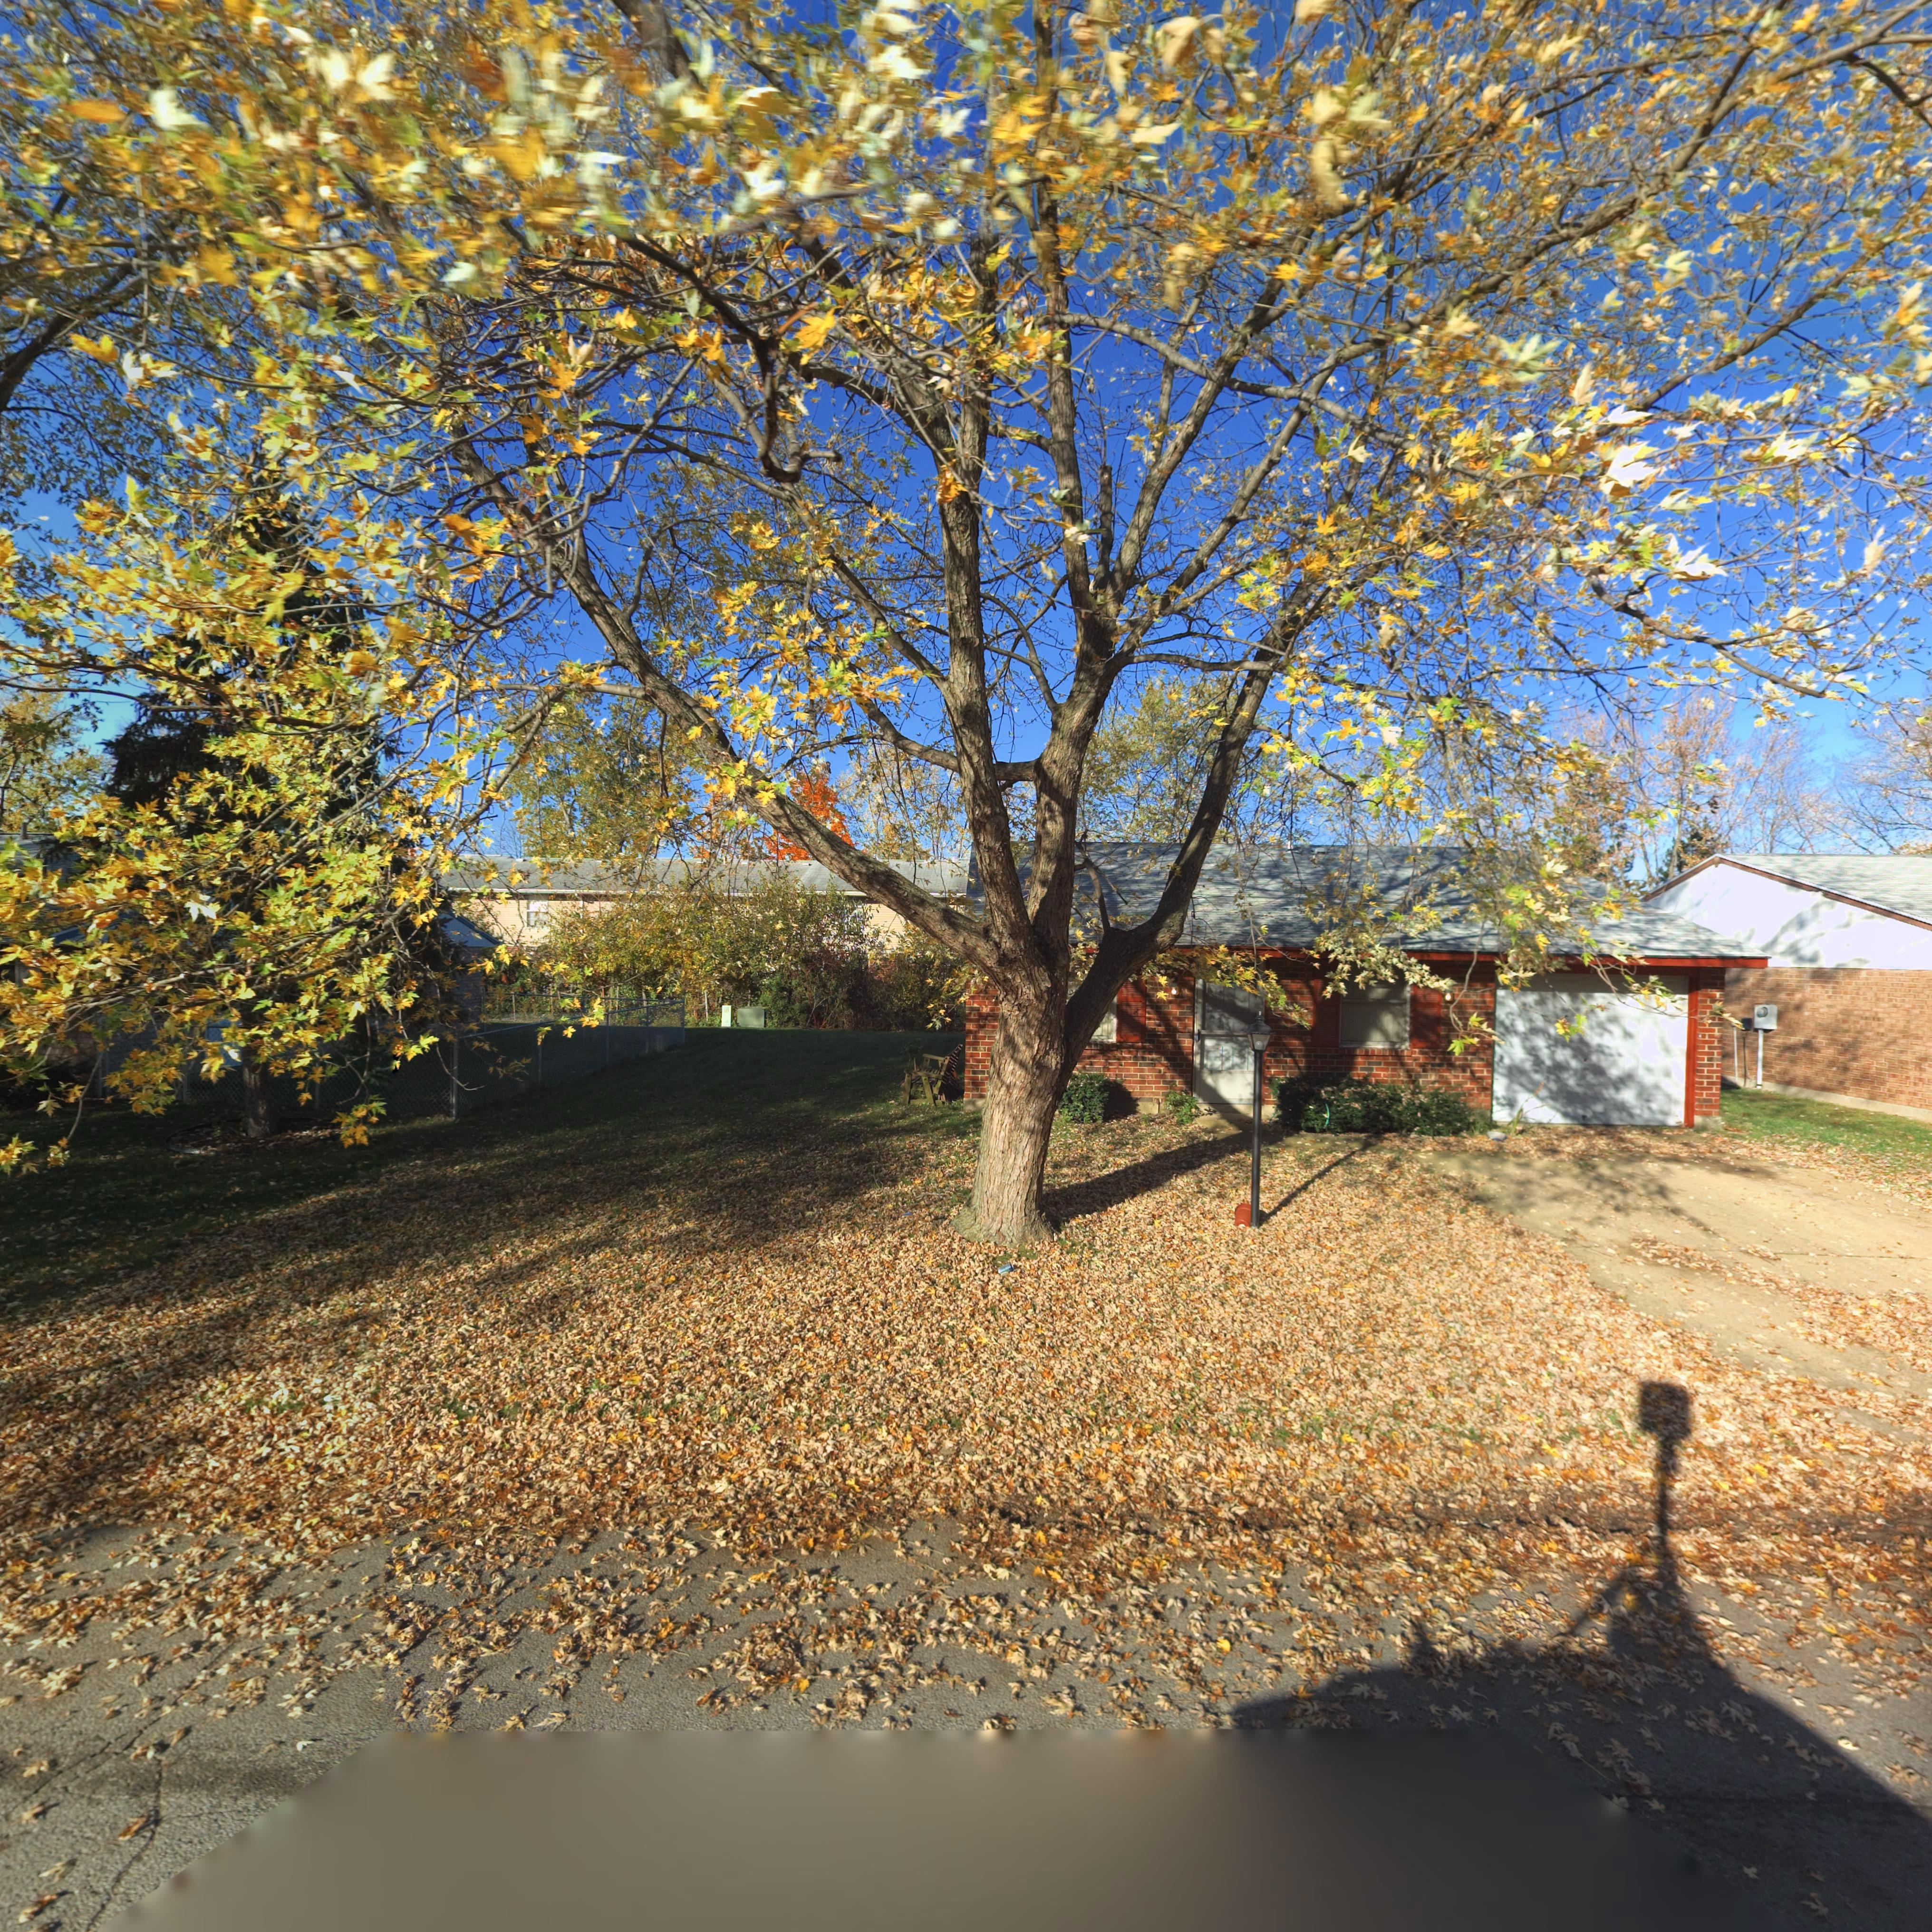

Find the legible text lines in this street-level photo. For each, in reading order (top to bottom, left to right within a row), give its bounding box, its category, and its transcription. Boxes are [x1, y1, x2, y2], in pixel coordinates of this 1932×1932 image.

[1589, 966, 1595, 974] StreetNumber: 8